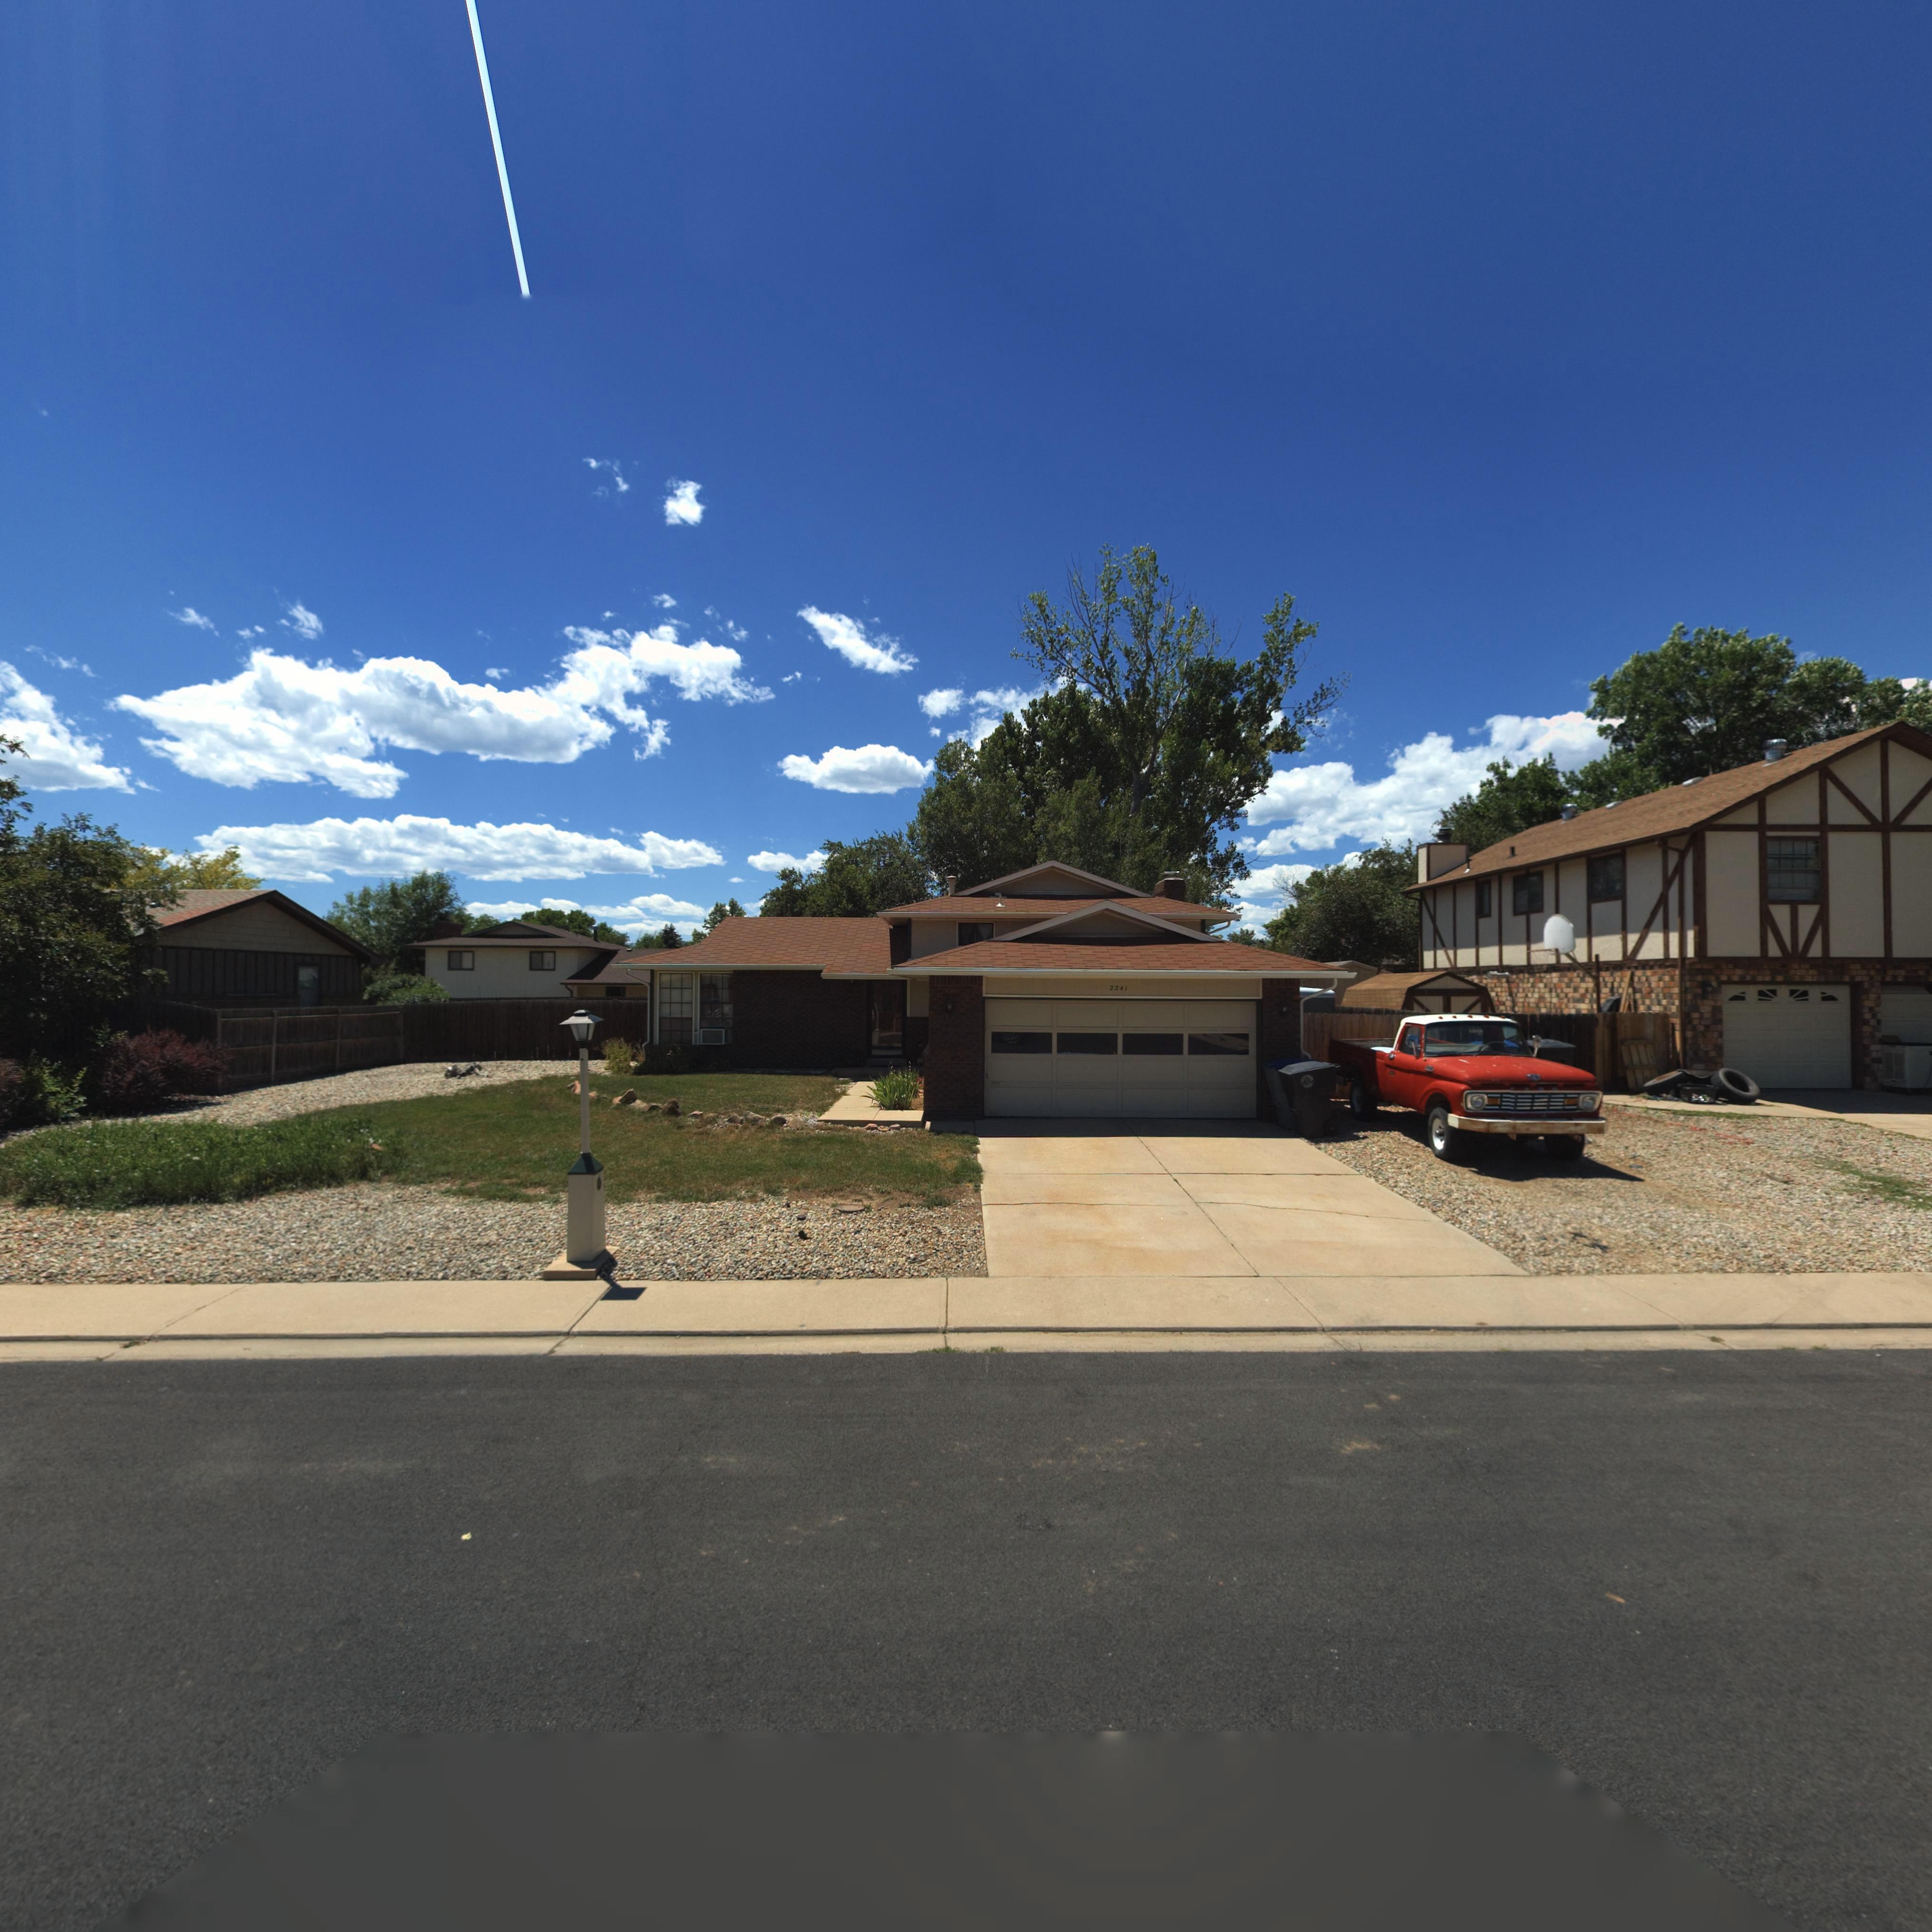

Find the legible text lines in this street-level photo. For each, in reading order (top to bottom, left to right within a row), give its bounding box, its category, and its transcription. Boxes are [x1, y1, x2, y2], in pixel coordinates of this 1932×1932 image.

[1108, 985, 1129, 991] StreetNumber: 2241